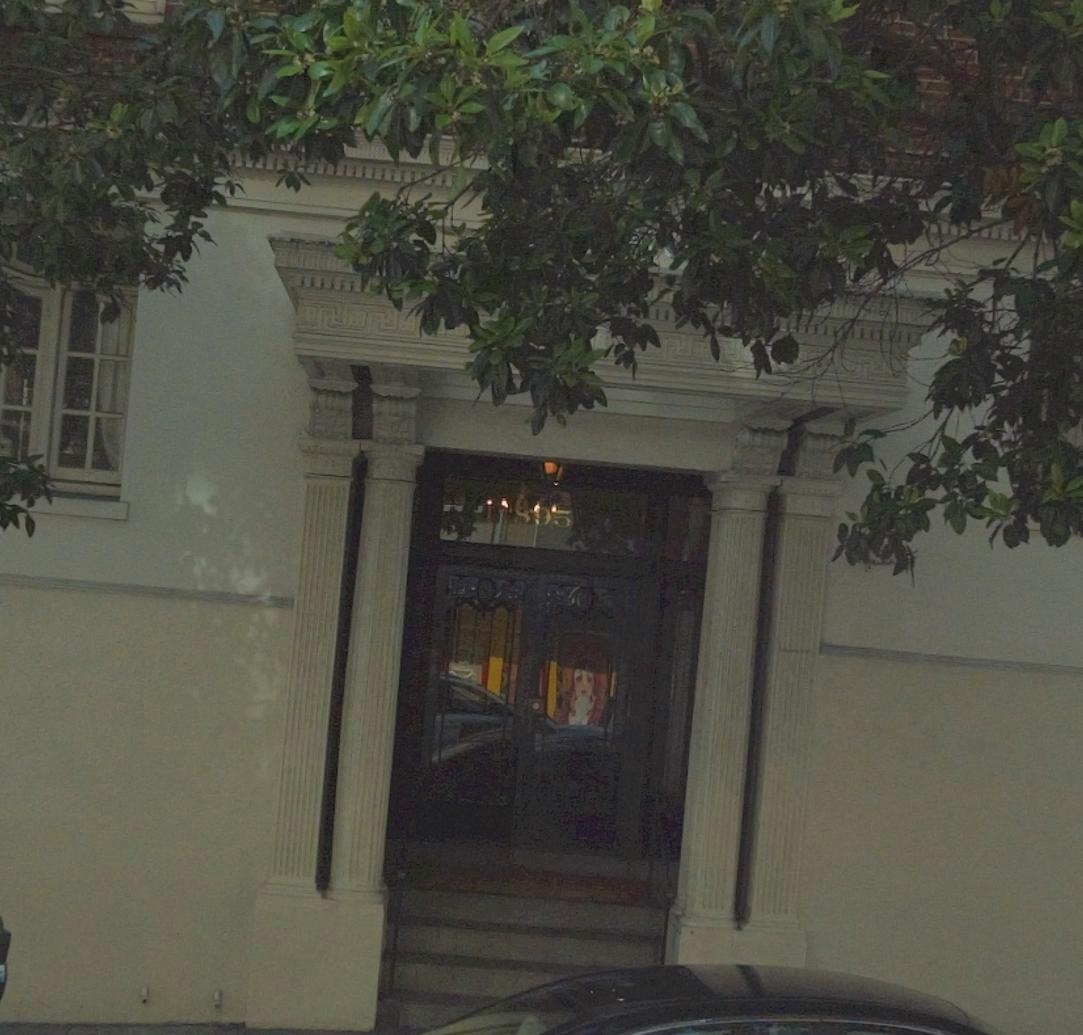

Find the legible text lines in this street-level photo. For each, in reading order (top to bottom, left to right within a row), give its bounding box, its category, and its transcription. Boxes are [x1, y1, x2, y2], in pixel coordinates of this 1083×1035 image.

[507, 498, 578, 534] StreetNumber: 895